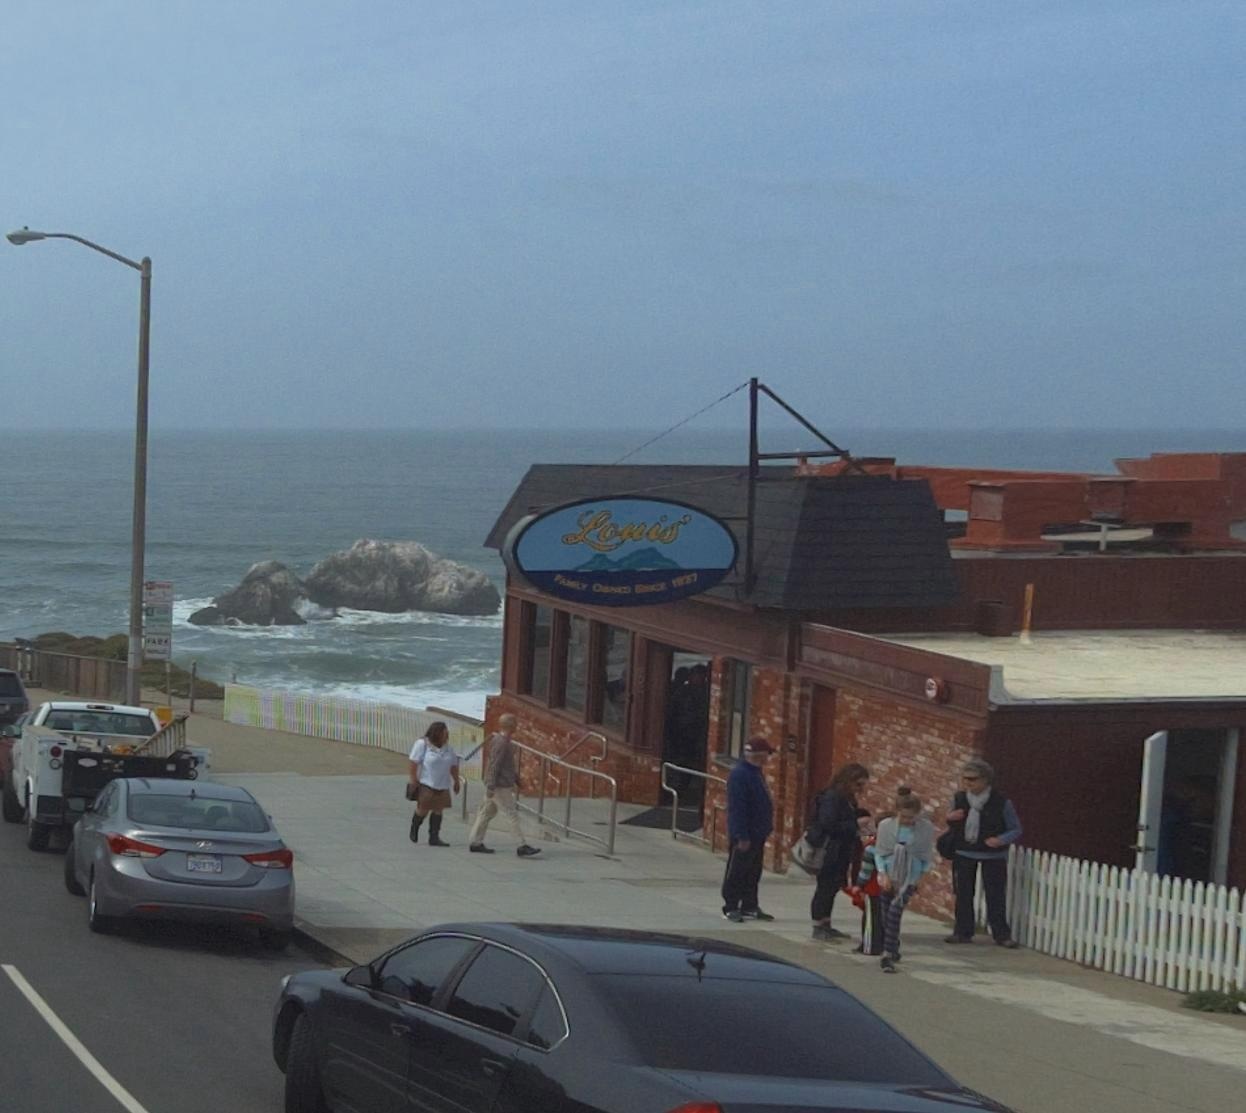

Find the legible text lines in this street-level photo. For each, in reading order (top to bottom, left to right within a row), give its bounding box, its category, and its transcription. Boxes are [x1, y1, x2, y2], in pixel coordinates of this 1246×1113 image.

[556, 507, 700, 554] BusinessName: Louis
[547, 566, 701, 598] None: FAMILY OWNED SINCE 1*37
[144, 635, 172, 648] None: PARK